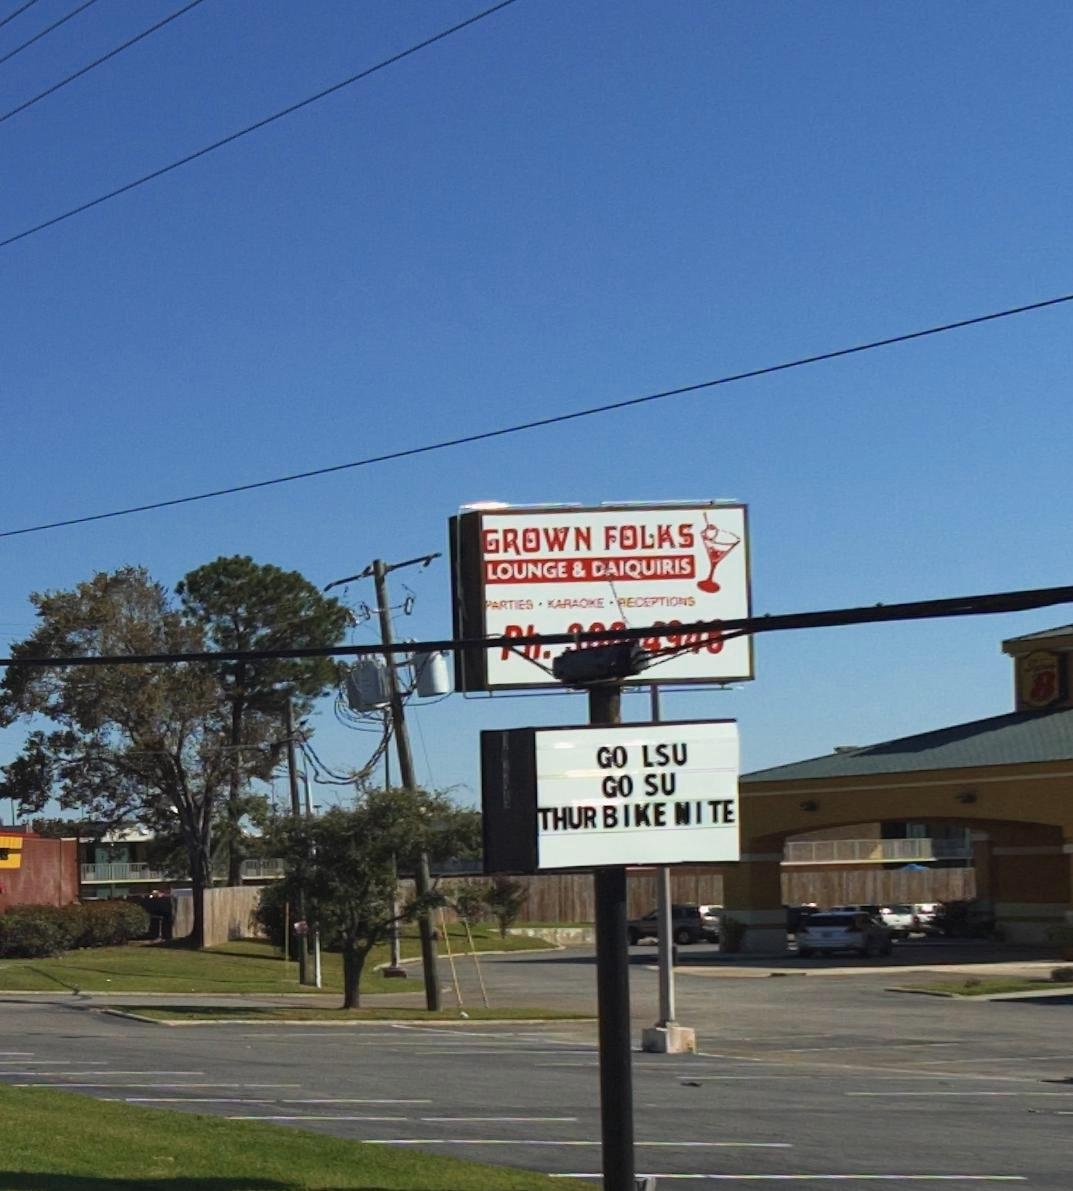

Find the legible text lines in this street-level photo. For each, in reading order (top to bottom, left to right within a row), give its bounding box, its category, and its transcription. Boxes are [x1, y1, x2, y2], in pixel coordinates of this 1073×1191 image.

[478, 520, 698, 559] BusinessName: GROWN FOLKS
[485, 555, 695, 583] BusinessName: LOUNGE & DAIQUIRIS
[489, 593, 699, 613] None: ARTIES * KARAOKE * RECEPTIONS
[593, 738, 692, 773] None: GO LSU
[597, 768, 681, 802] None: GO SU
[533, 795, 740, 835] None: THUR BIKE NITE